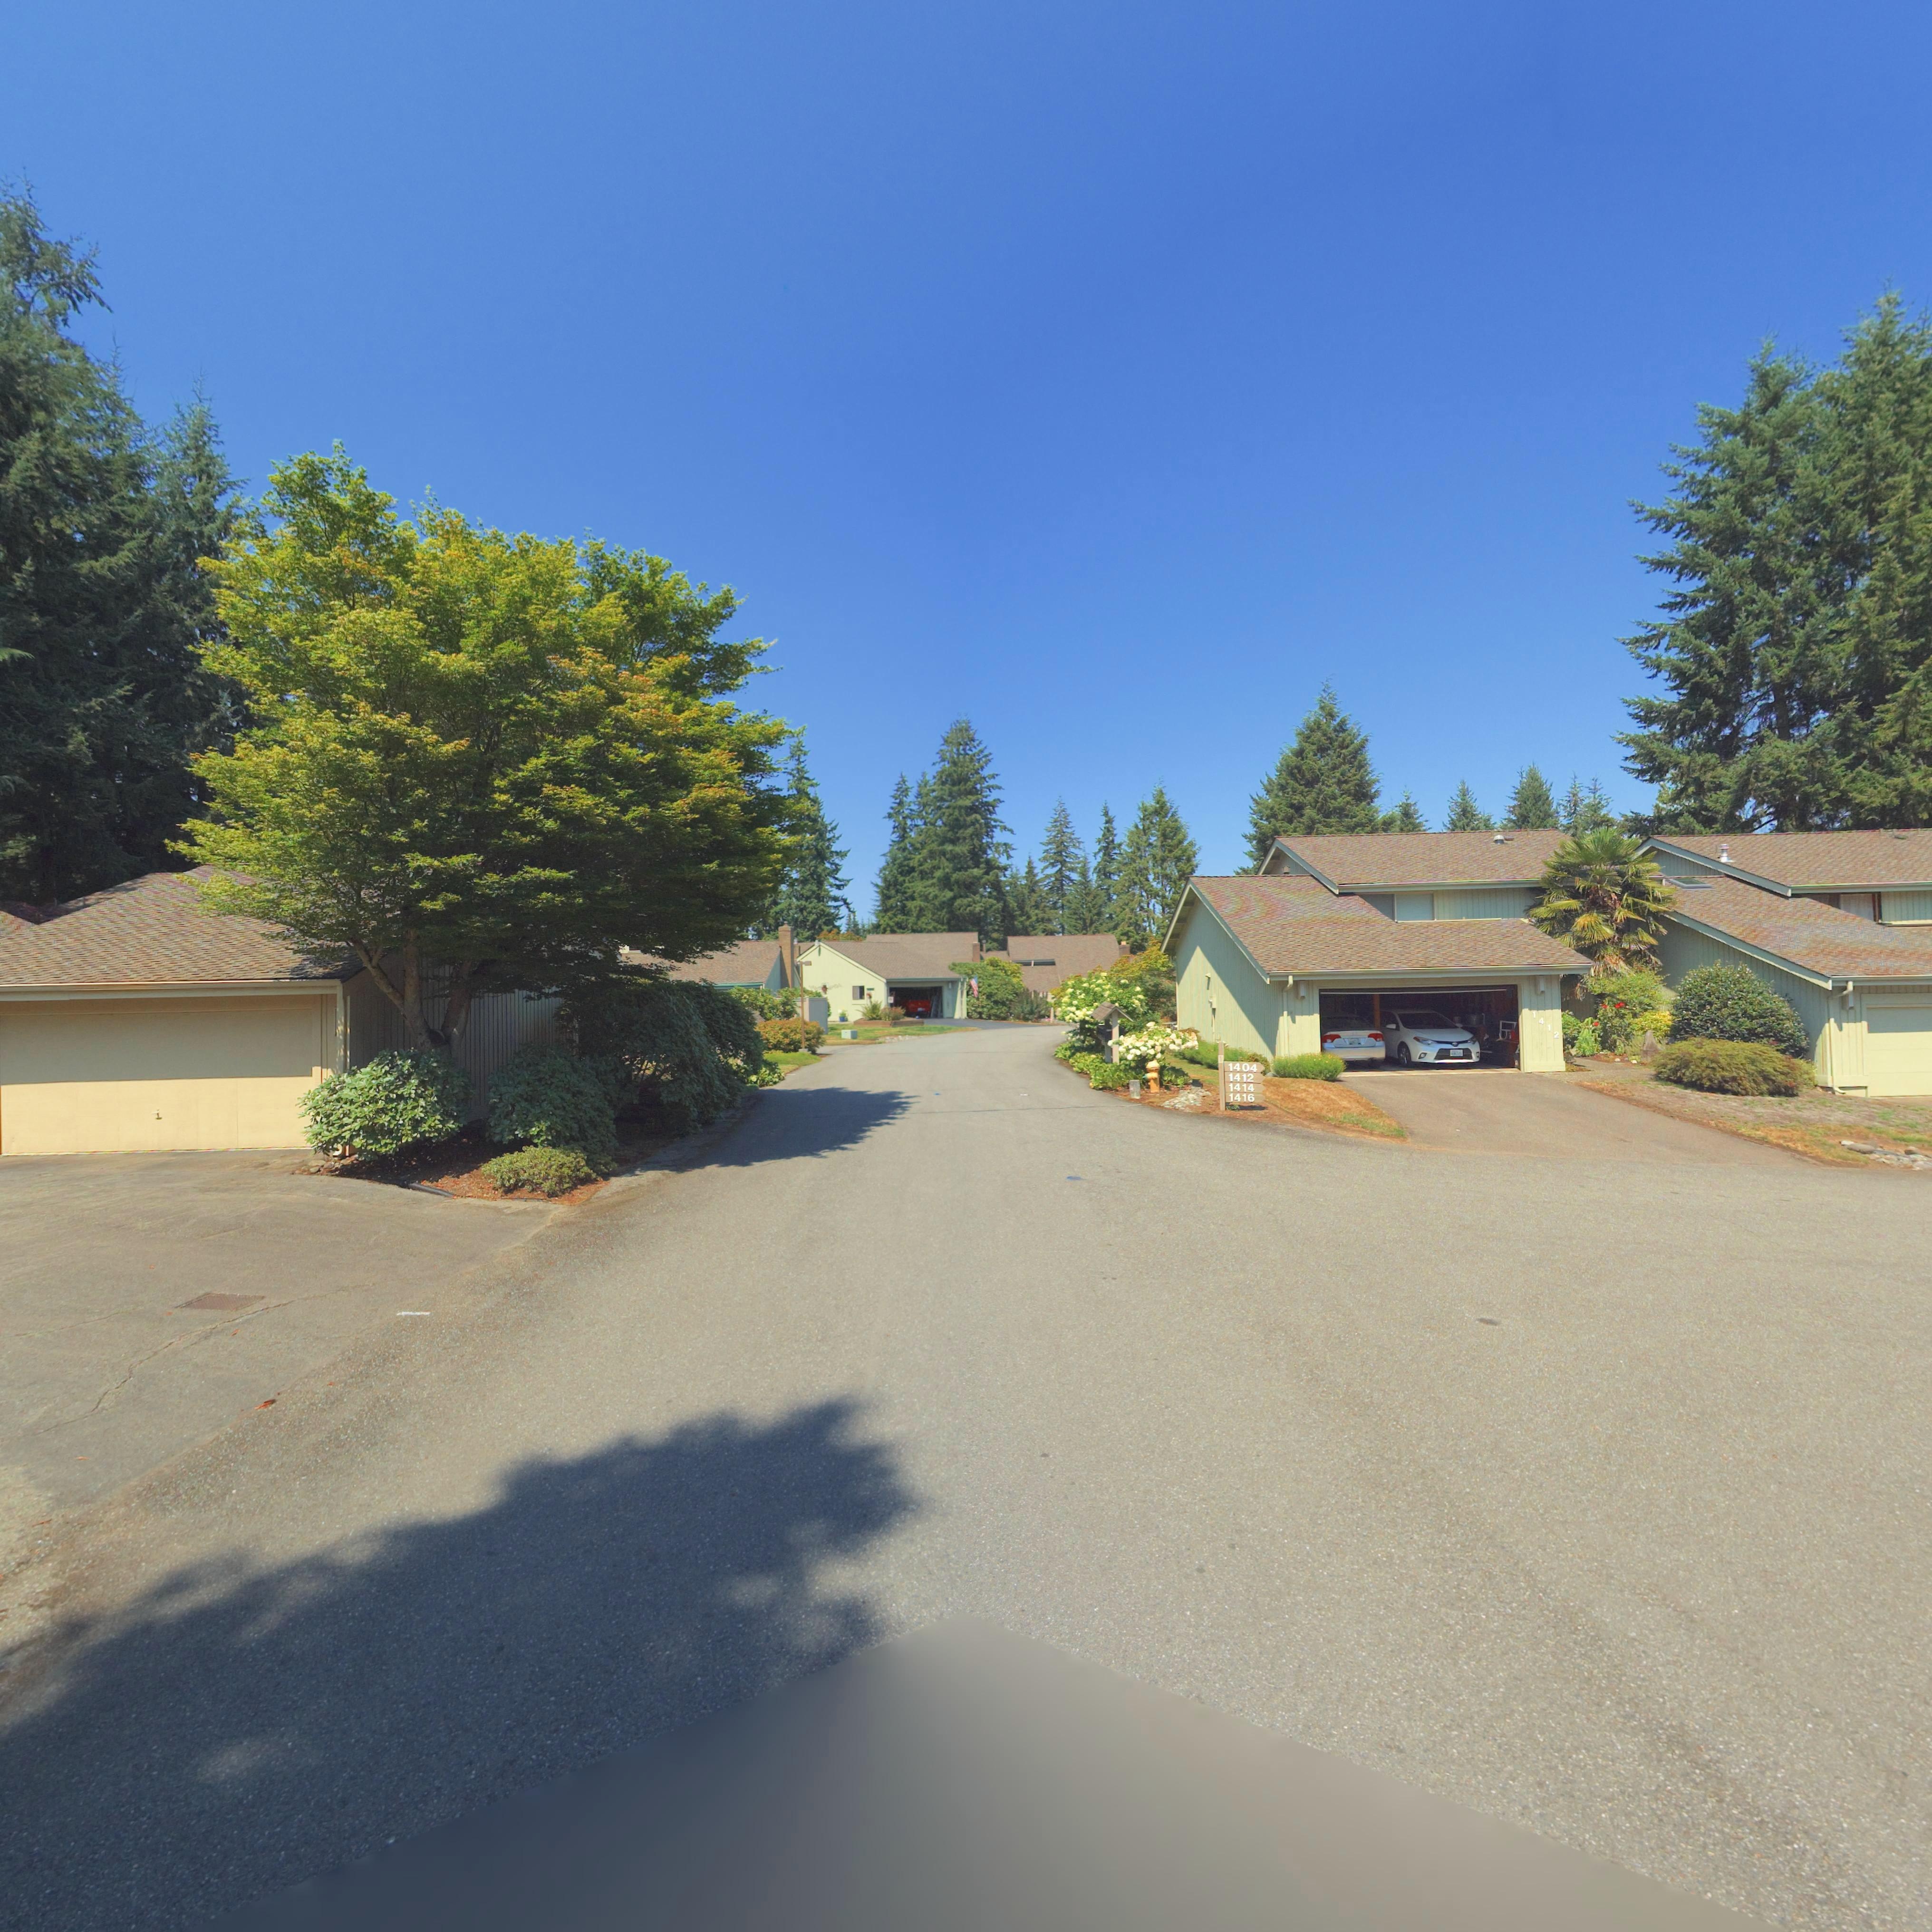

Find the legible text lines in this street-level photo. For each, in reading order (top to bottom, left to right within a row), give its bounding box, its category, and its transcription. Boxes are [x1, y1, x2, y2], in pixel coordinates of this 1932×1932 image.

[1228, 1063, 1257, 1072] StreetNumber: 1404
[1229, 1073, 1254, 1082] StreetNumber: 1412
[1229, 1083, 1254, 1091] StreetNumber: 1414
[1229, 1093, 1254, 1101] StreetNumber: 1416